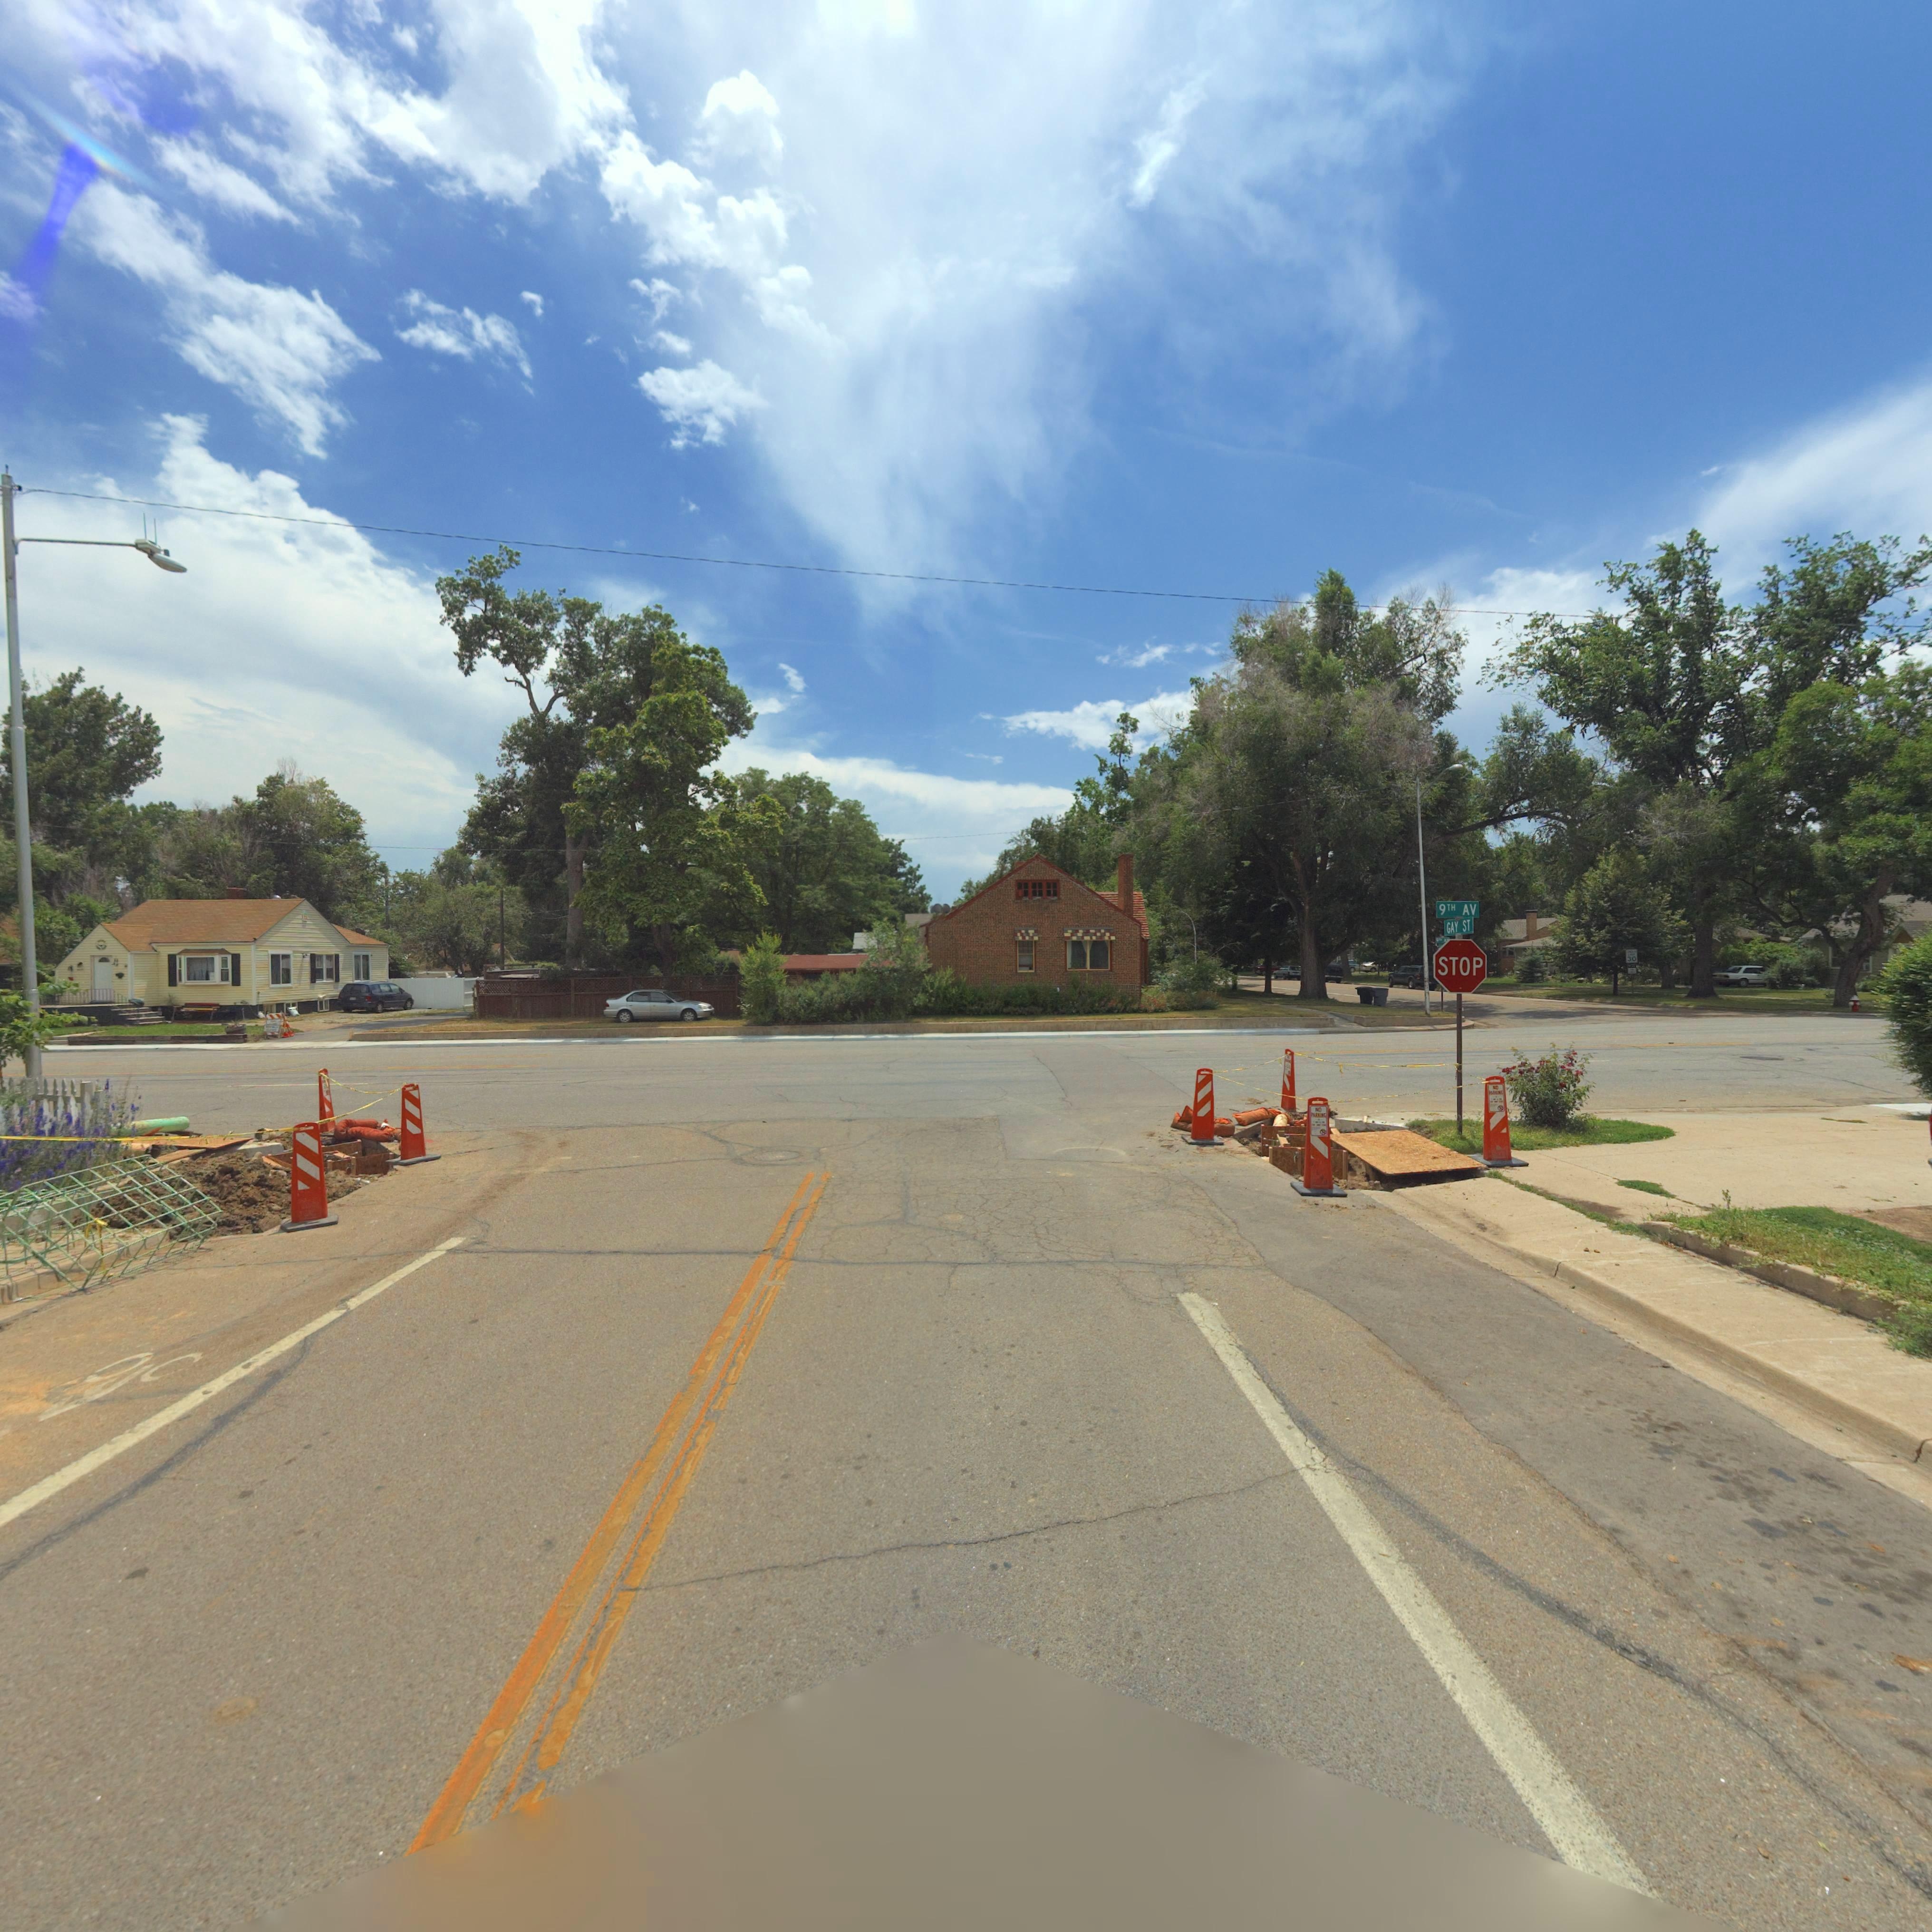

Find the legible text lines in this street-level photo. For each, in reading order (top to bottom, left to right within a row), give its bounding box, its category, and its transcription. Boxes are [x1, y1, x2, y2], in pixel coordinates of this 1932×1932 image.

[1438, 903, 1477, 916] StreetName: 9TH AV
[1446, 919, 1471, 934] StreetName: GAY ST